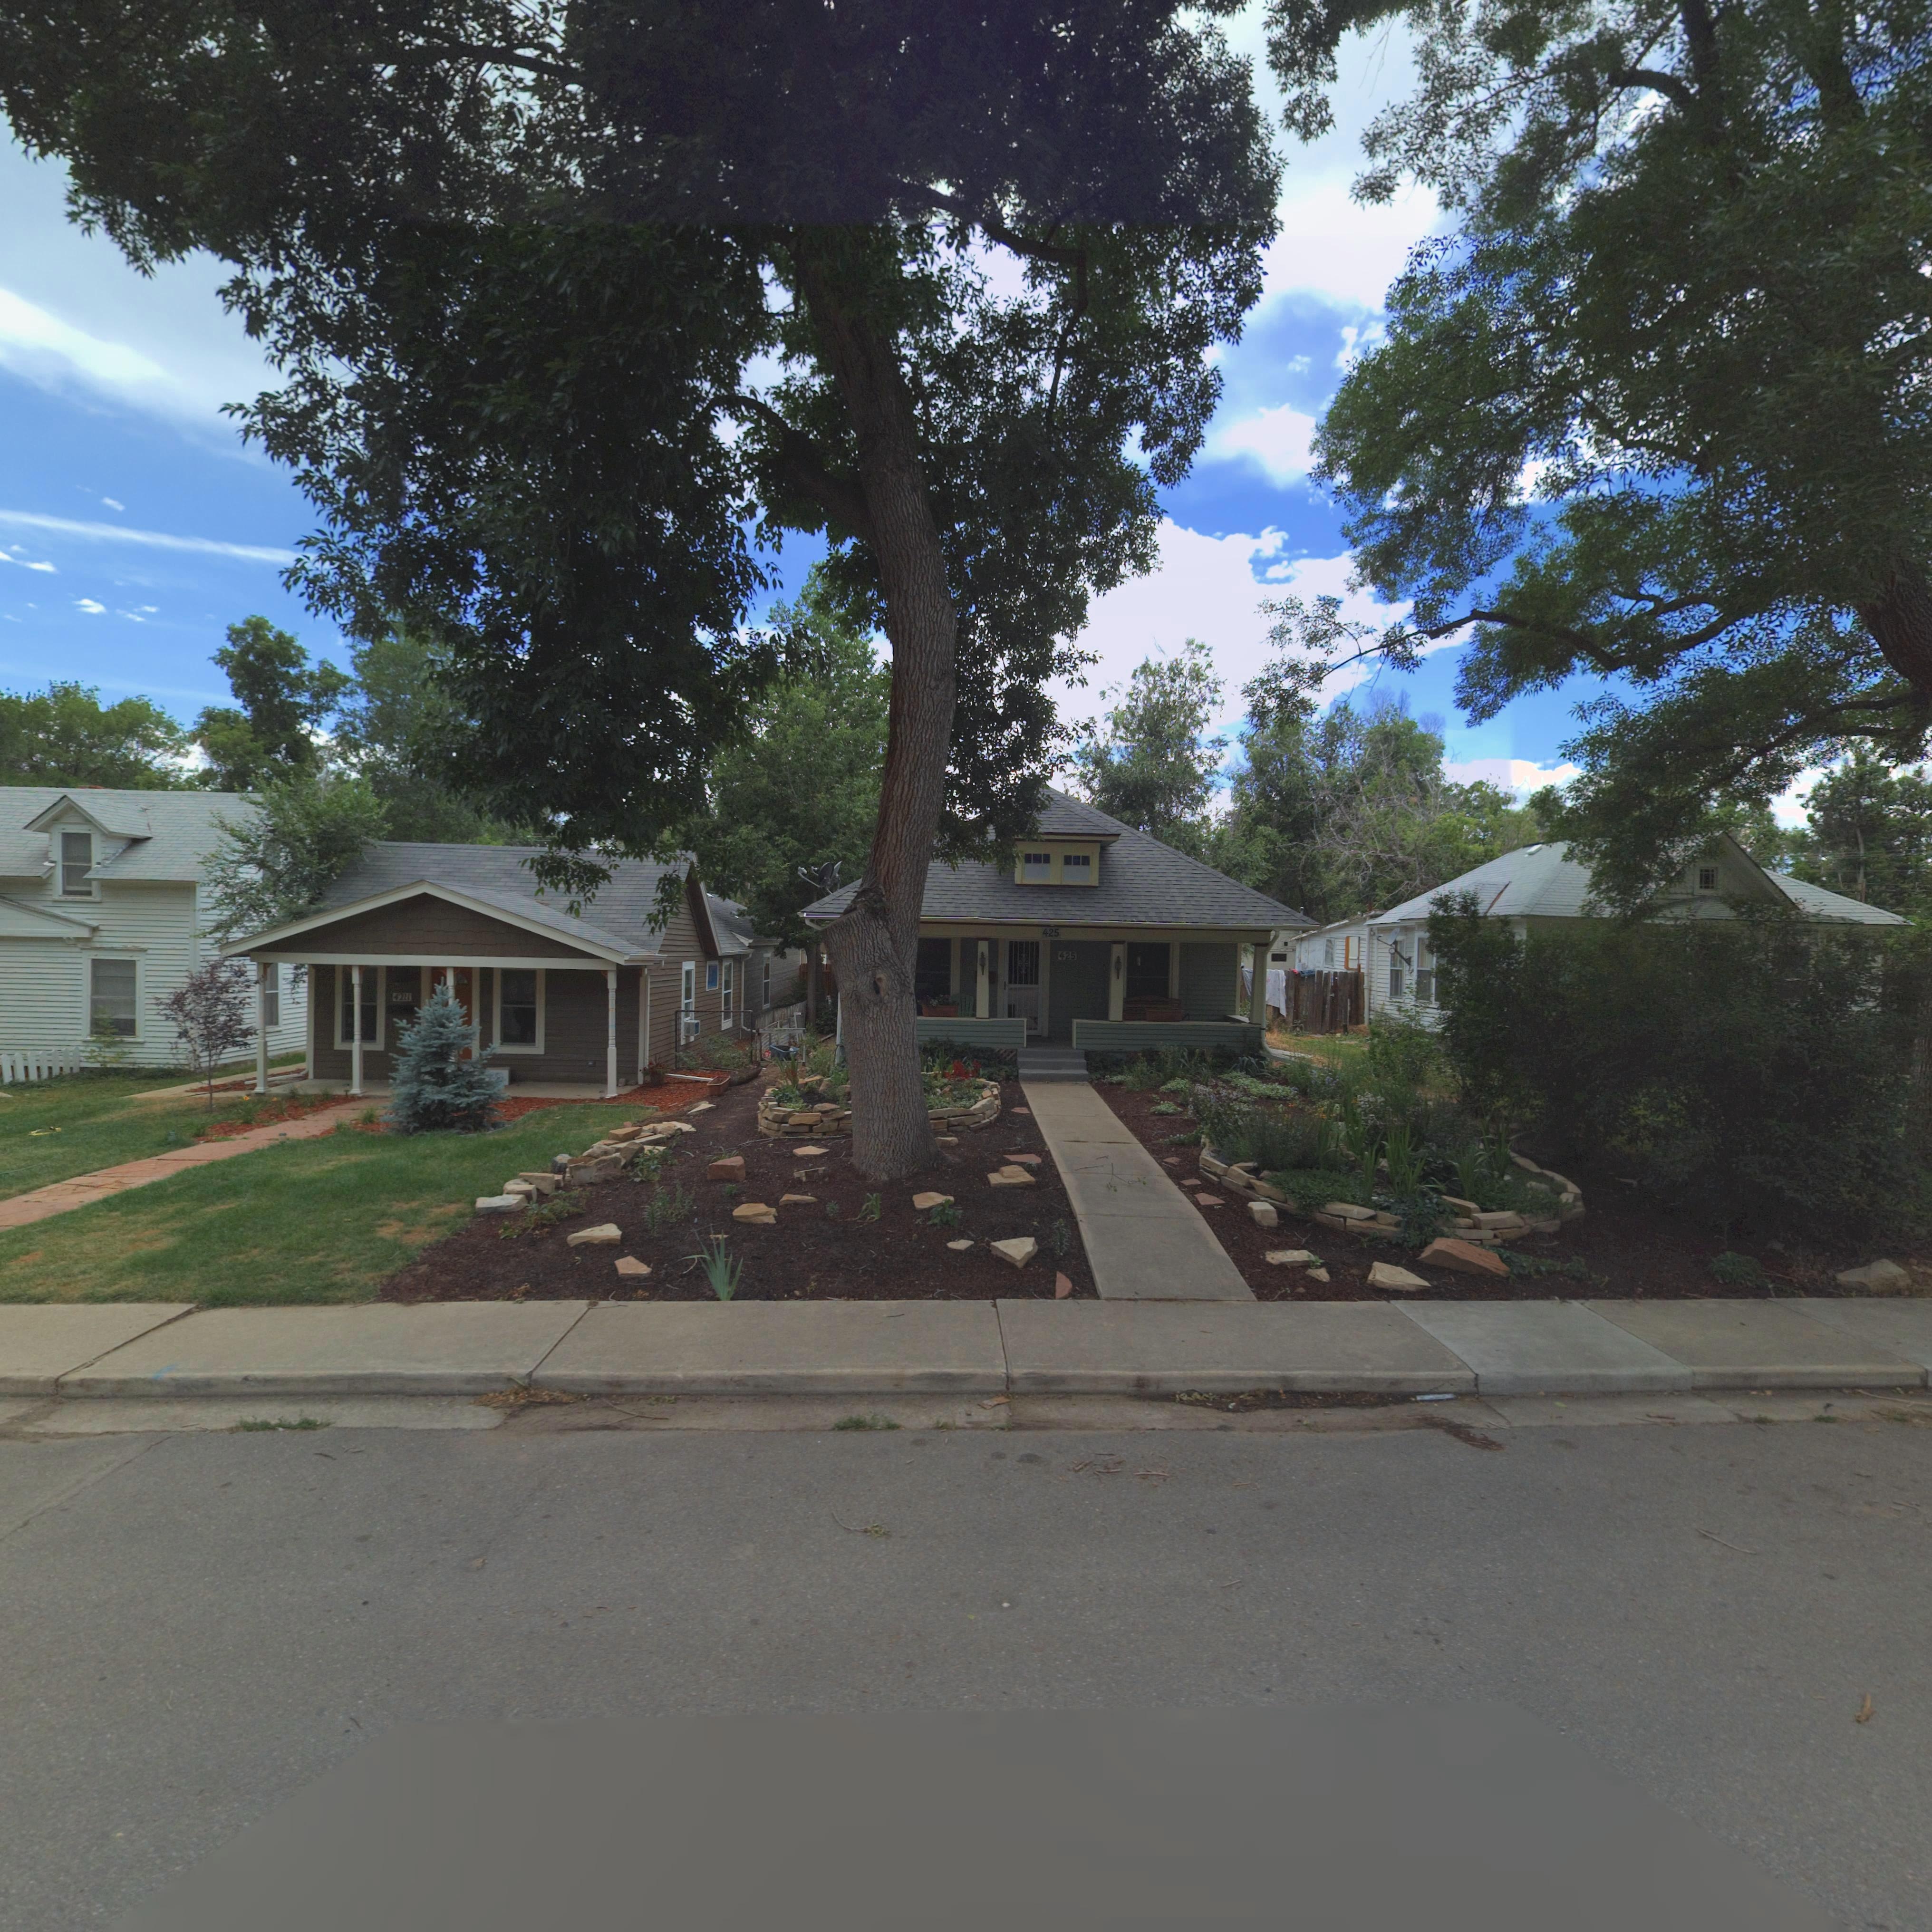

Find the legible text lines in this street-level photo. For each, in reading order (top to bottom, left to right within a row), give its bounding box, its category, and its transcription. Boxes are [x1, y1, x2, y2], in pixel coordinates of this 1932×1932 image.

[1043, 928, 1059, 937] StreetNumber: 425
[1059, 951, 1075, 960] StreetNumber: 425
[392, 993, 407, 1001] StreetNumber: 421